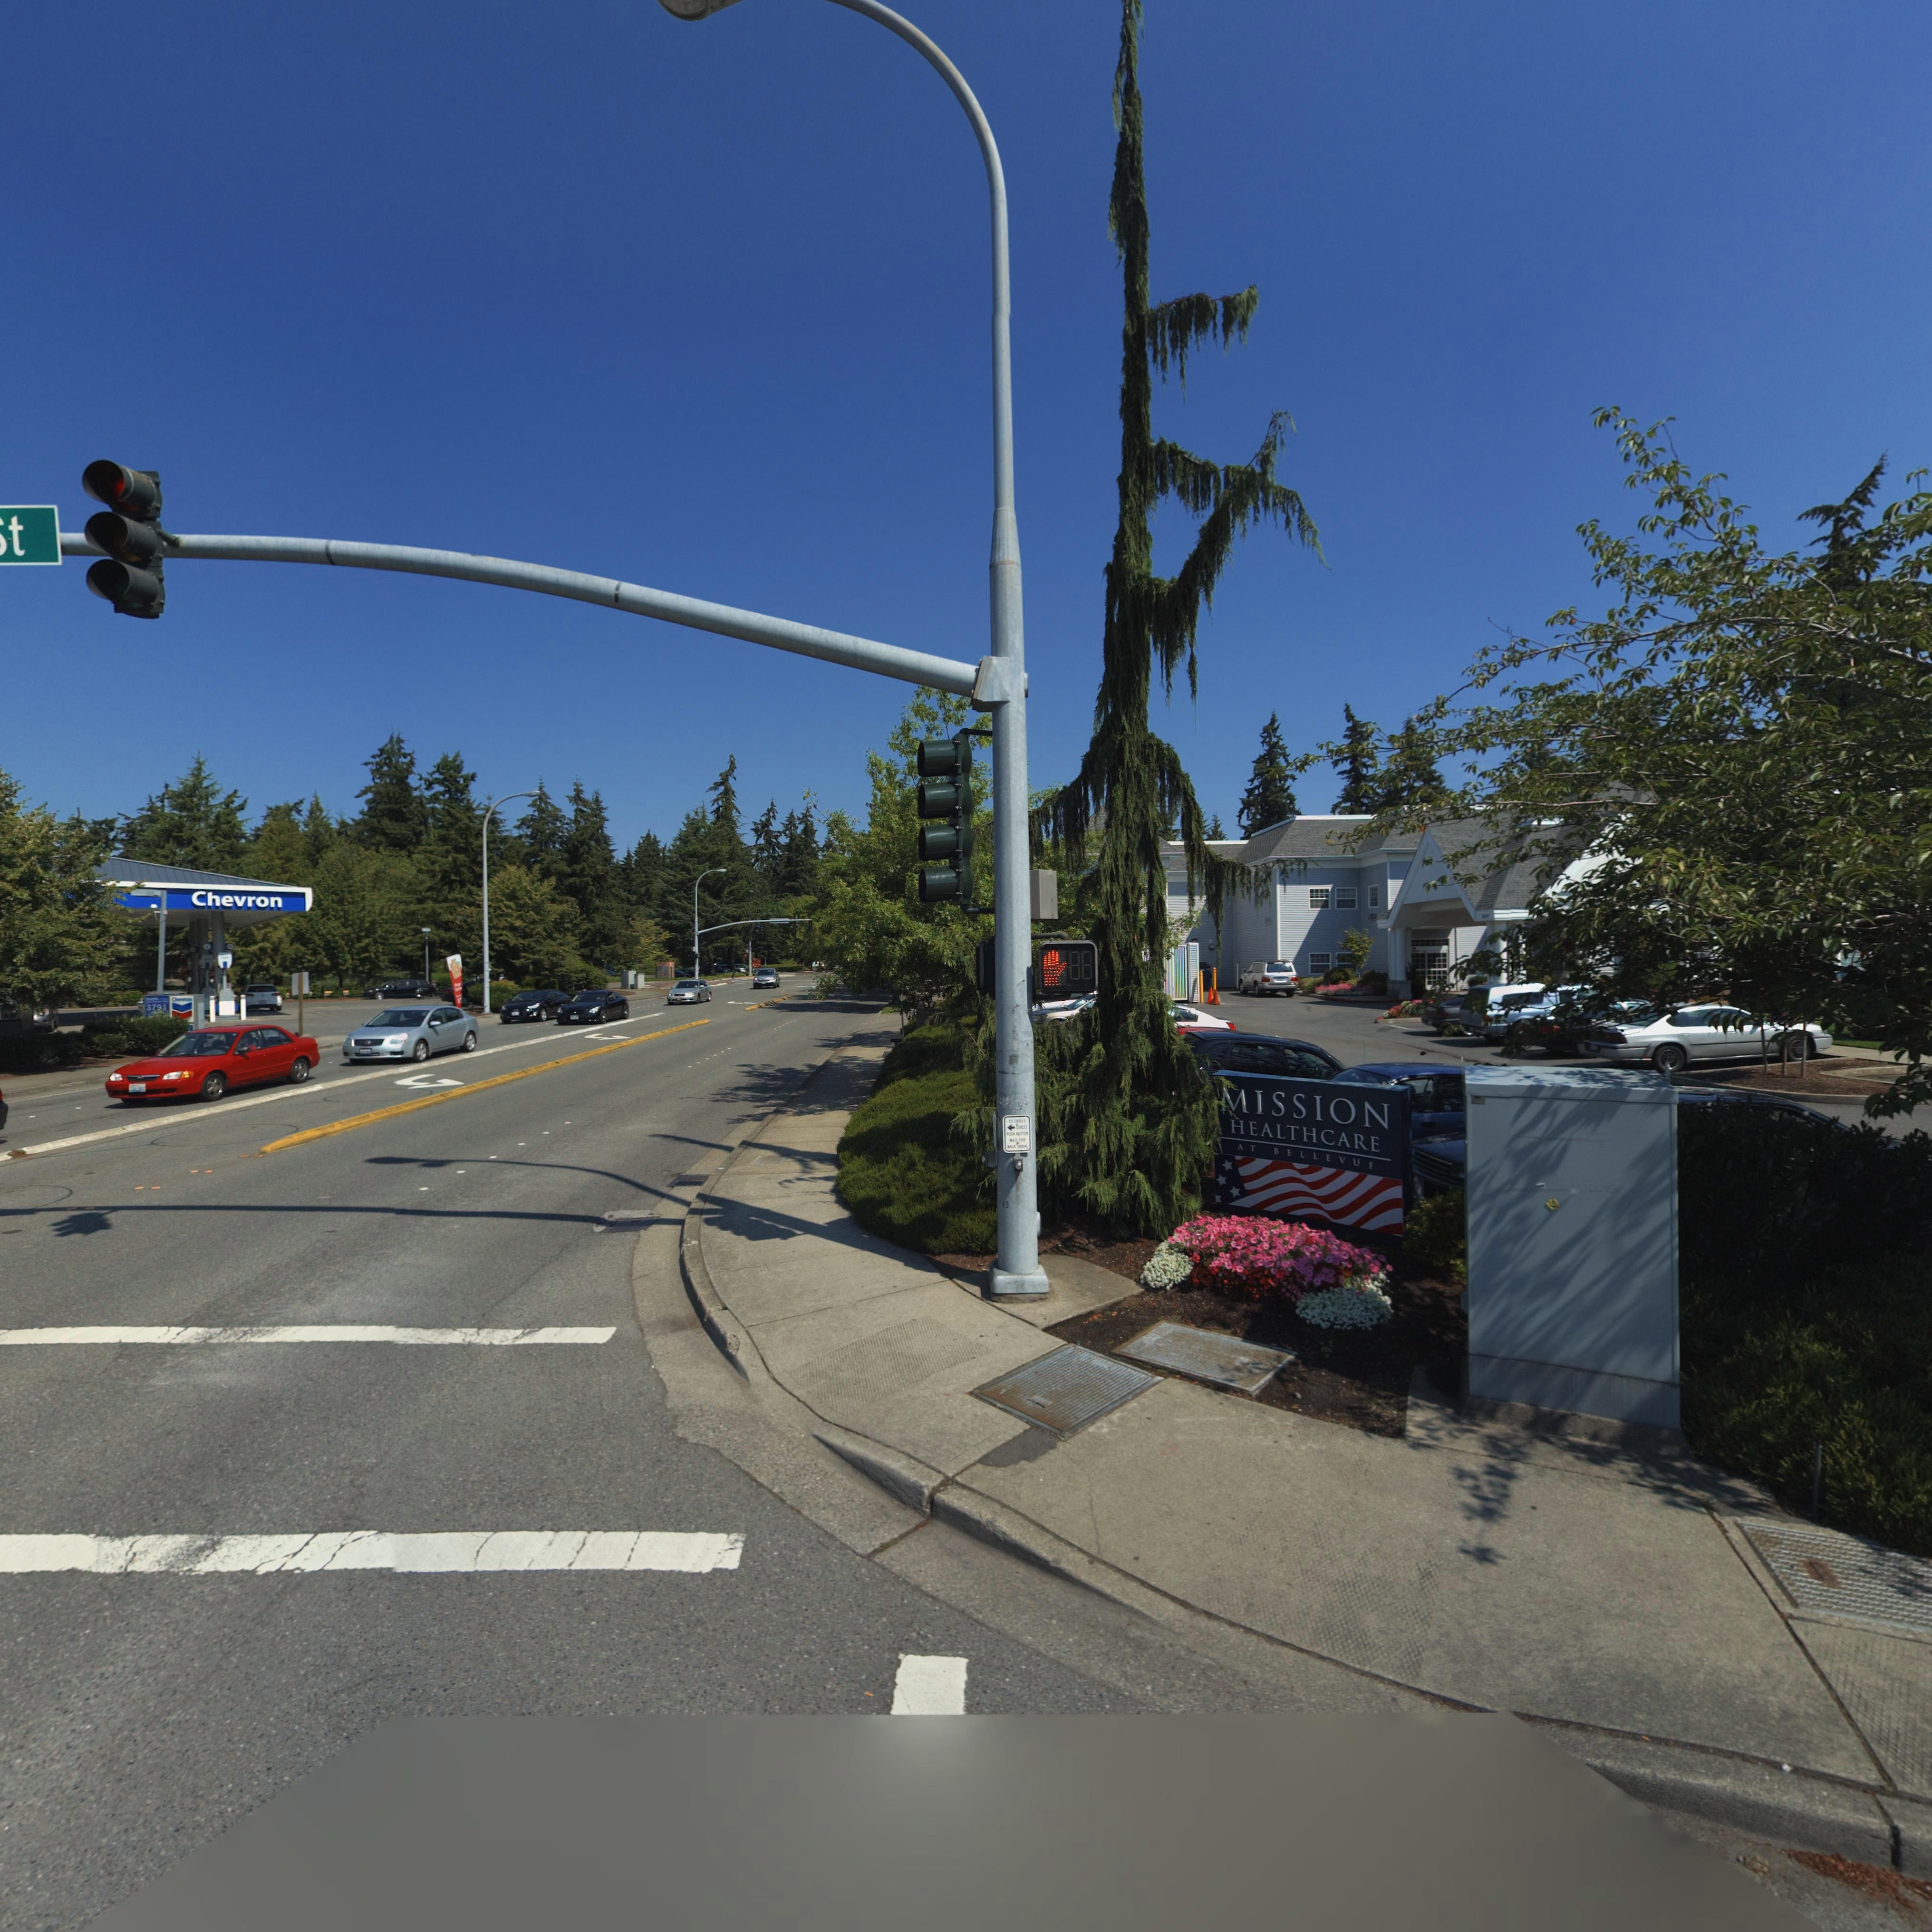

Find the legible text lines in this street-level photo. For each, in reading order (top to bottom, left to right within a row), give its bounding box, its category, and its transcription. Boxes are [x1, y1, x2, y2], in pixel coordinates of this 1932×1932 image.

[192, 890, 281, 907] BusinessName: Chevron
[1234, 1087, 1389, 1130] BusinessName: *ISSION
[1231, 1119, 1379, 1152] BusinessName: HEALTHCARE